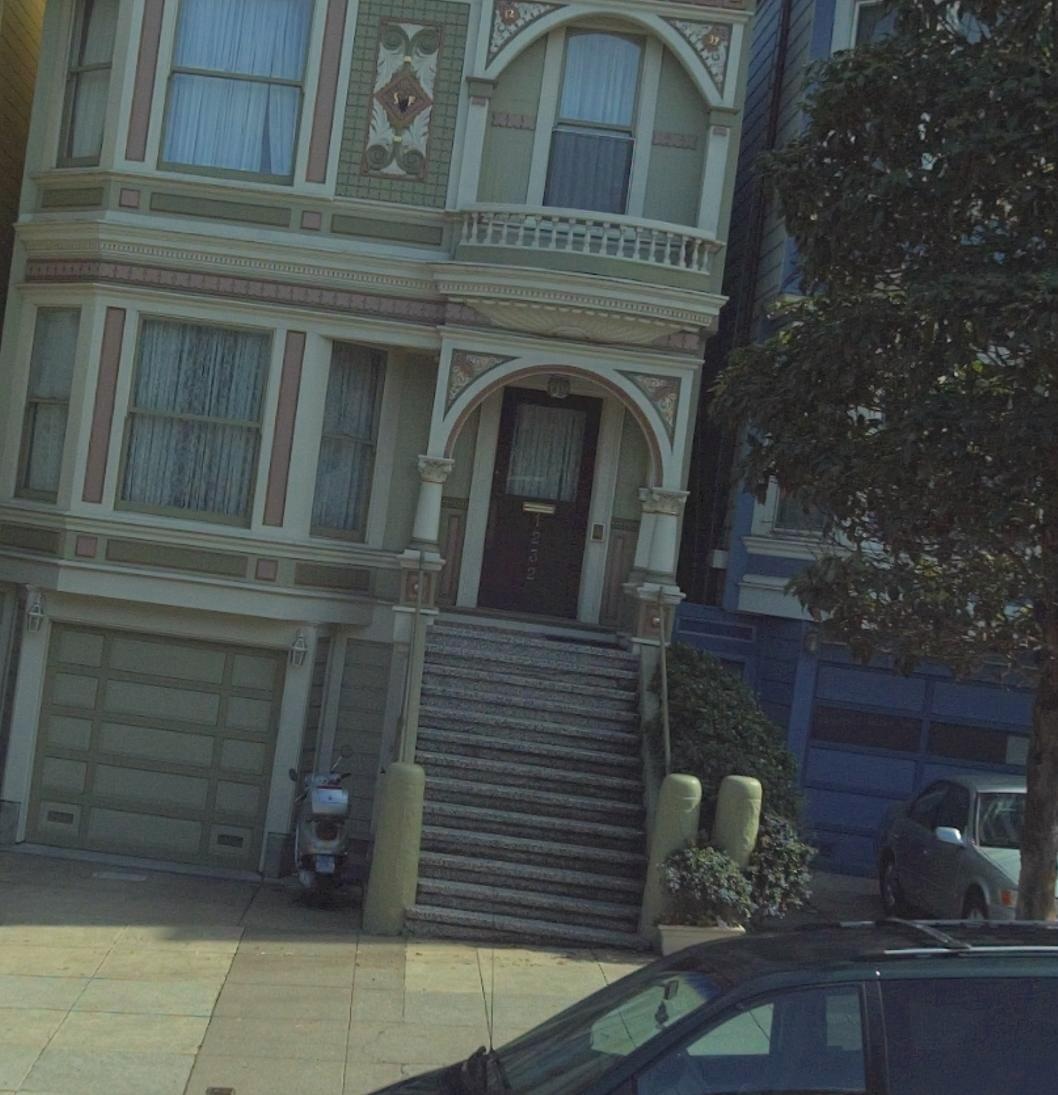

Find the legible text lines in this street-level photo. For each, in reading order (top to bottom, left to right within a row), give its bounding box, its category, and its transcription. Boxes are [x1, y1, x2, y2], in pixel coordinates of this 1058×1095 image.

[523, 508, 545, 583] StreetNumber: 1232